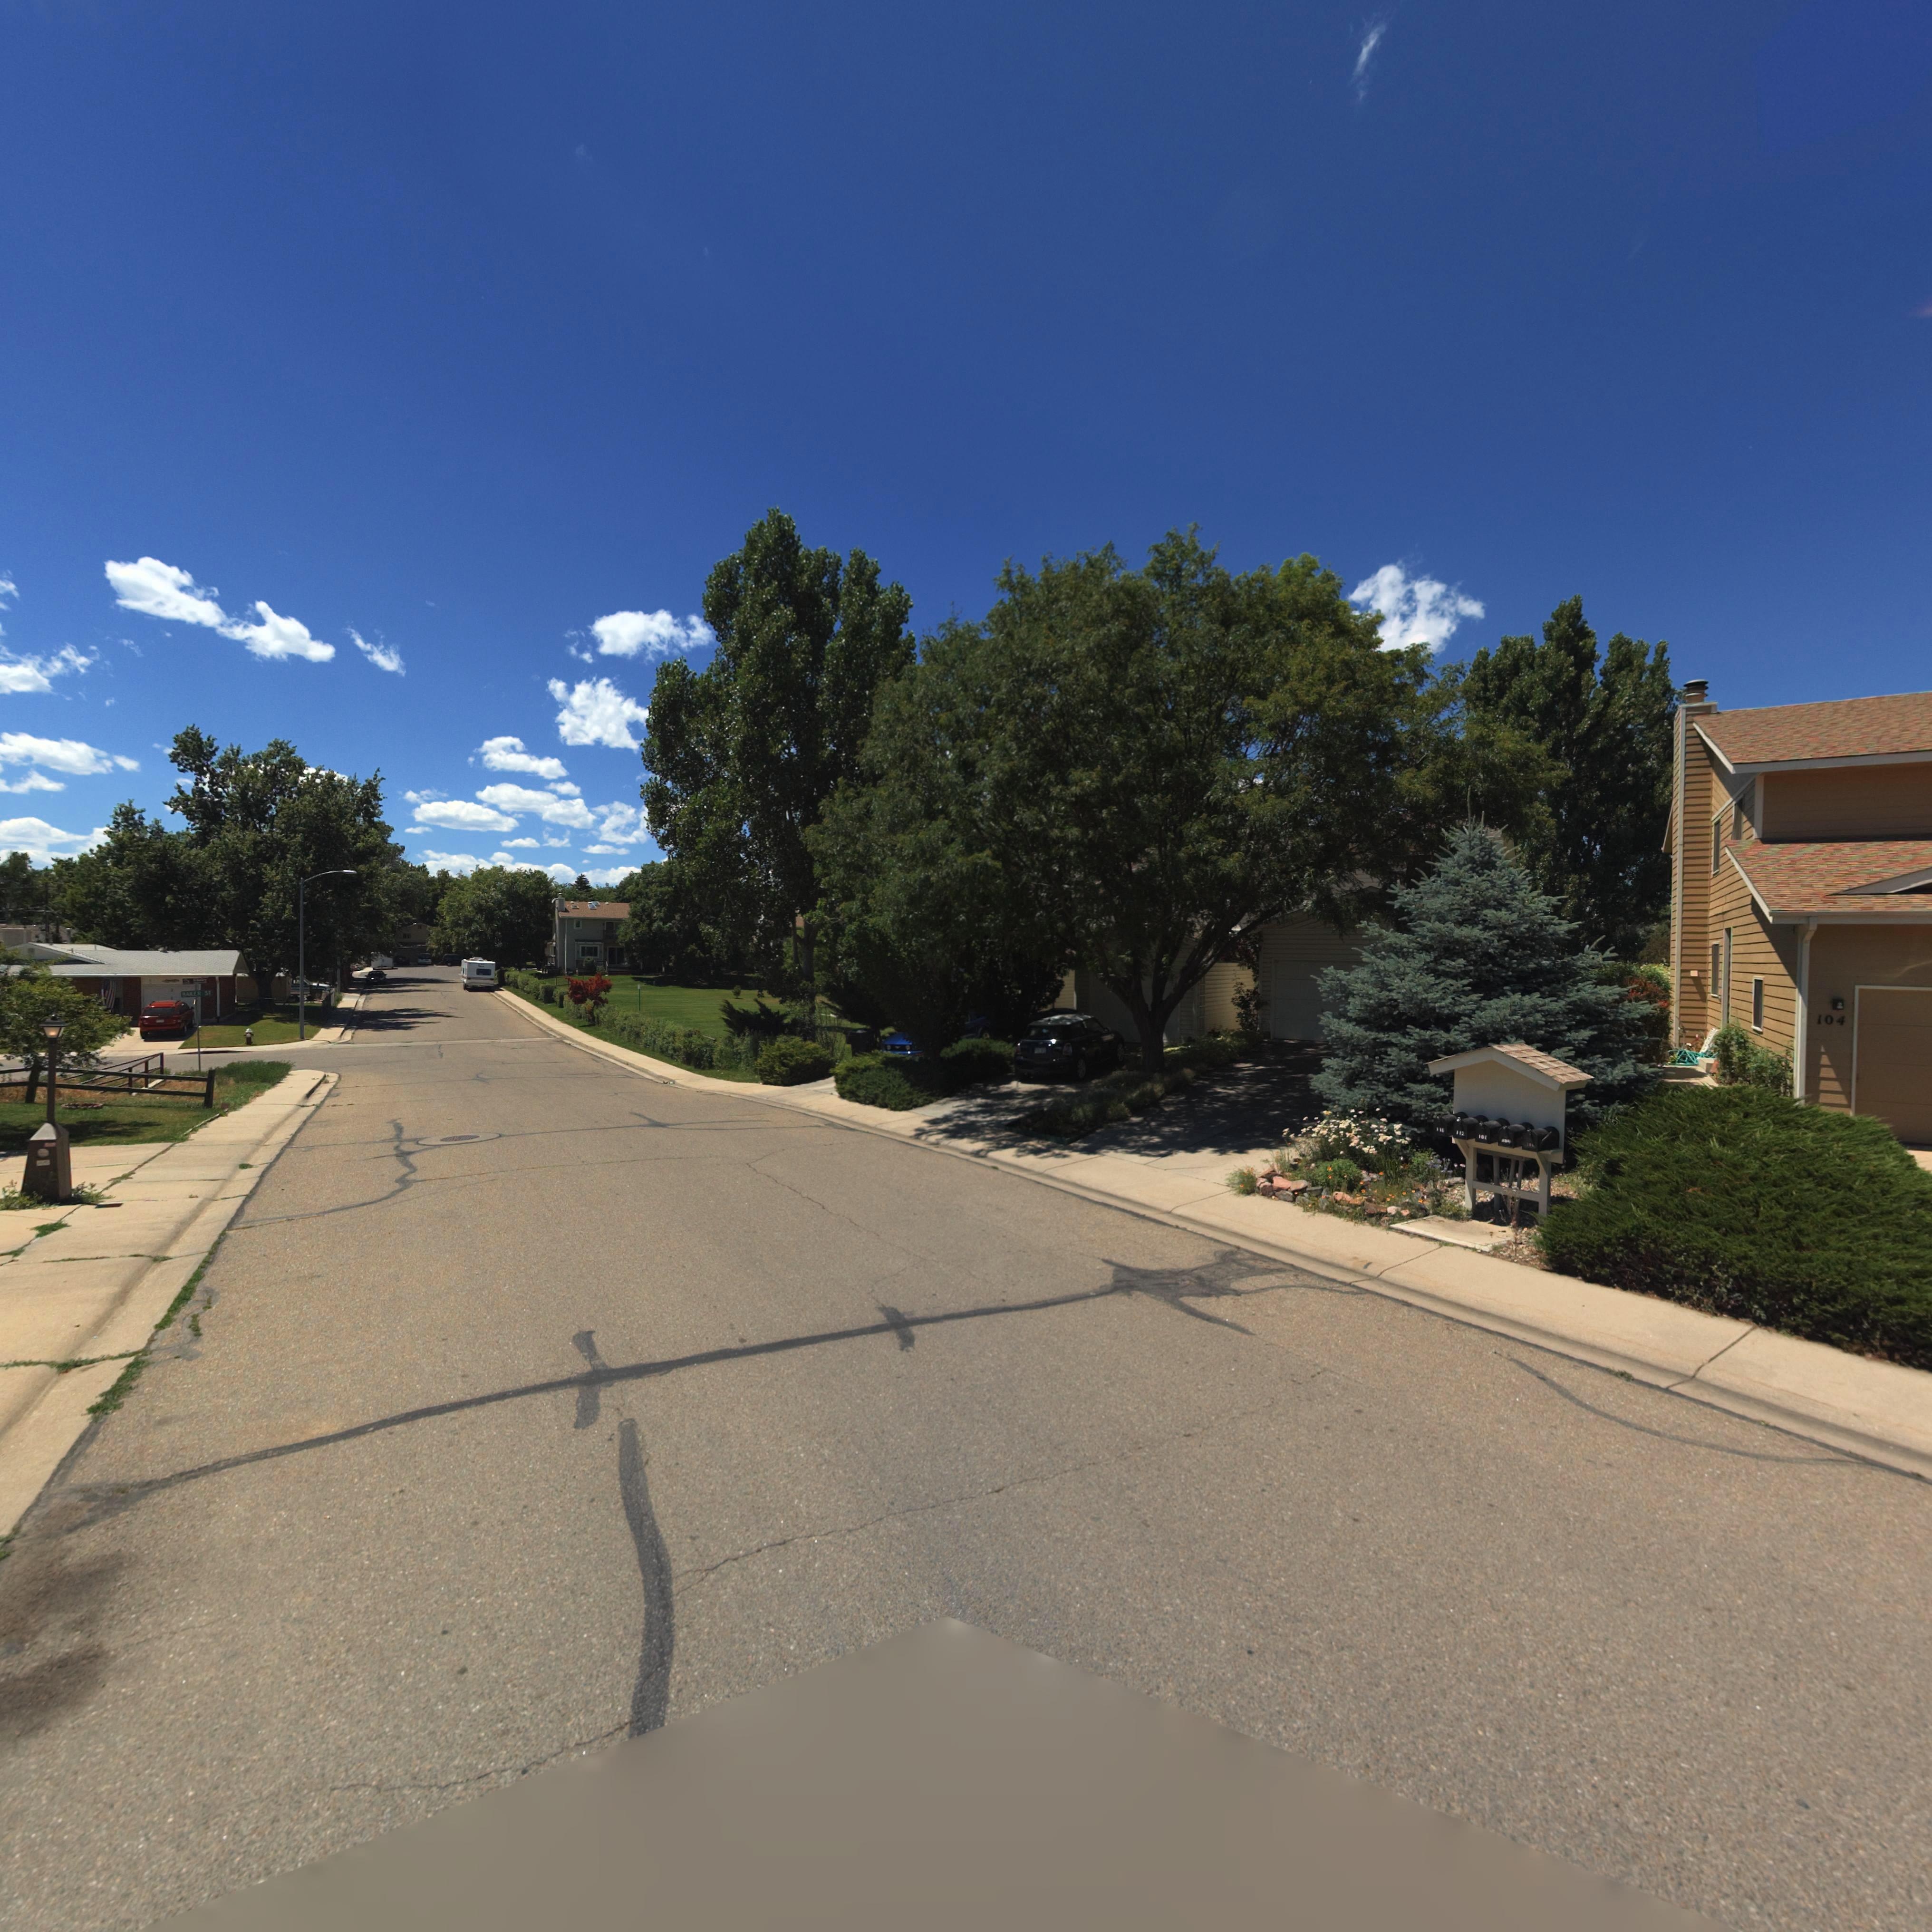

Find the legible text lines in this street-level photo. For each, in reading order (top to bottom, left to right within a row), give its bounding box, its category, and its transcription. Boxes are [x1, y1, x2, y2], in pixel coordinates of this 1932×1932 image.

[181, 990, 211, 997] StreetName: BAKER ST
[1816, 1014, 1845, 1026] StreetNumber: 104
[1436, 1127, 1444, 1133] StreetNumber: 116
[1456, 1130, 1465, 1136] StreetNumber: 112
[1478, 1133, 1484, 1139] StreetNumber: 10
[1501, 1138, 1511, 1144] StreetNumber: 104
[1526, 1142, 1534, 1147] StreetNumber: 10*